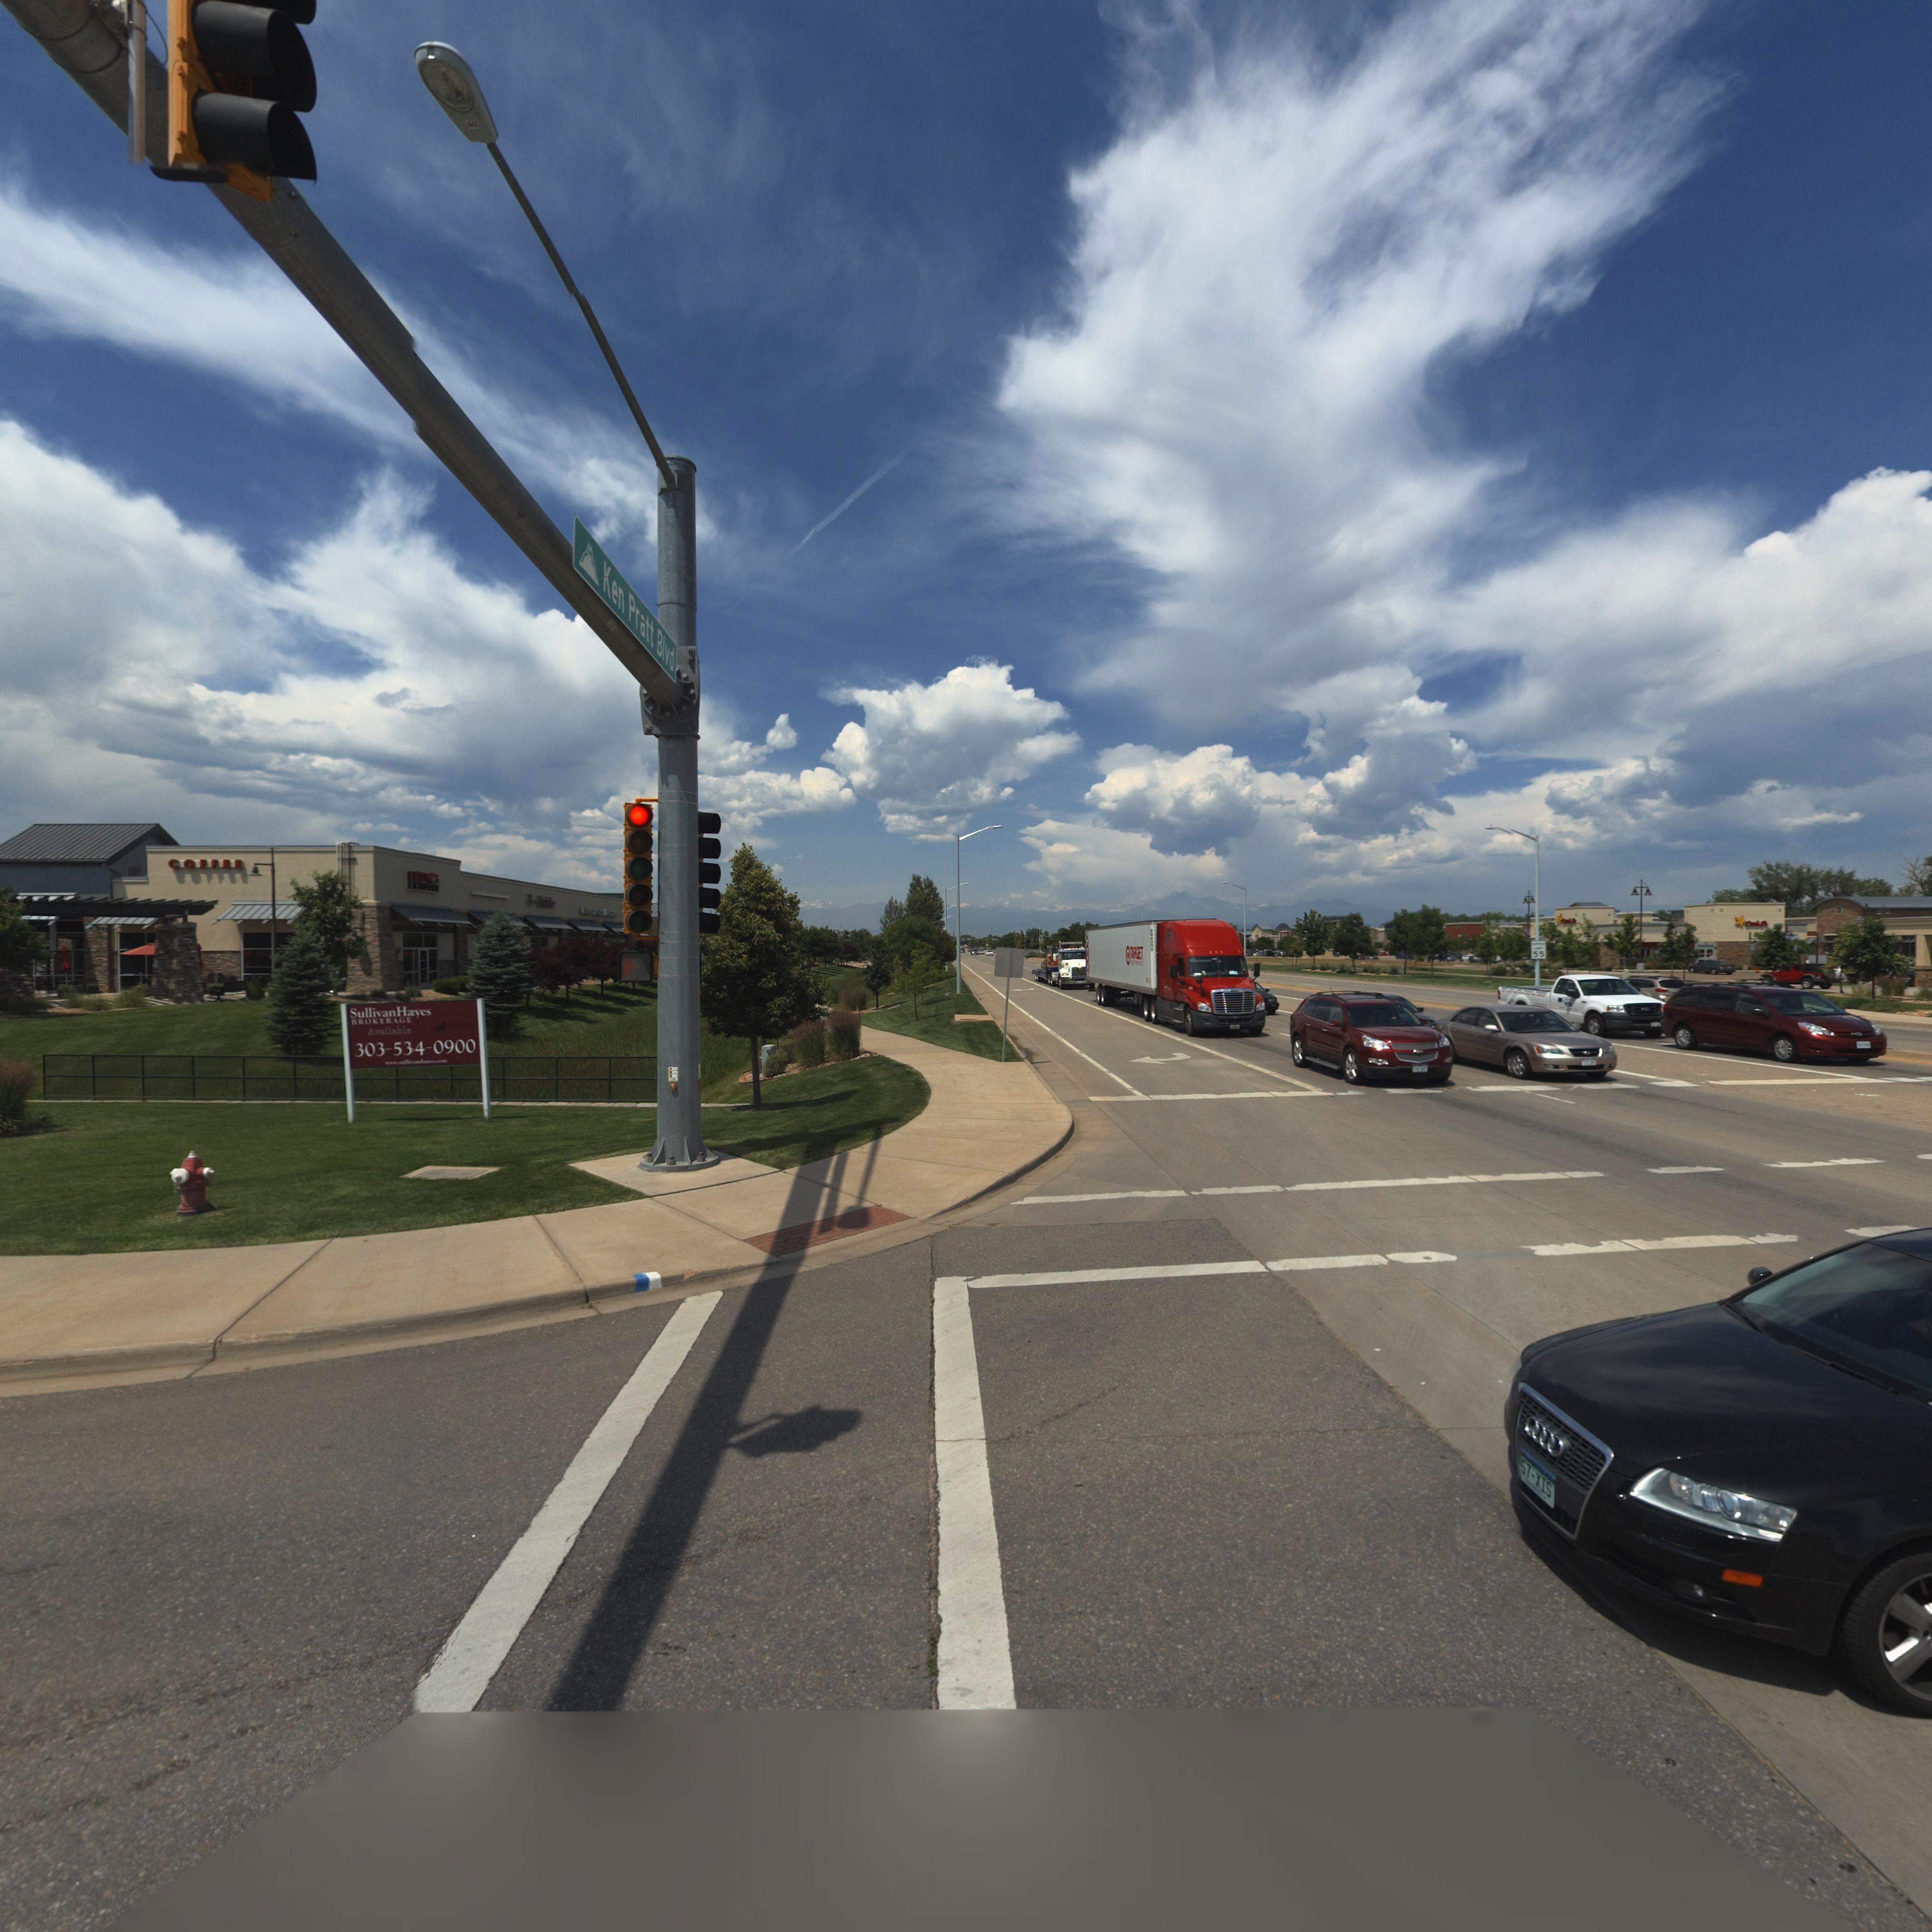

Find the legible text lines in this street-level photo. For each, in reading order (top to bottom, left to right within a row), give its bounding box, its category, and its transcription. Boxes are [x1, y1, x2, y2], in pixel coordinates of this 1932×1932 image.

[167, 858, 241, 869] BusinessName: COFFEE
[408, 870, 440, 884] BusinessName: ****S
[406, 881, 440, 892] BusinessName: COFFEE